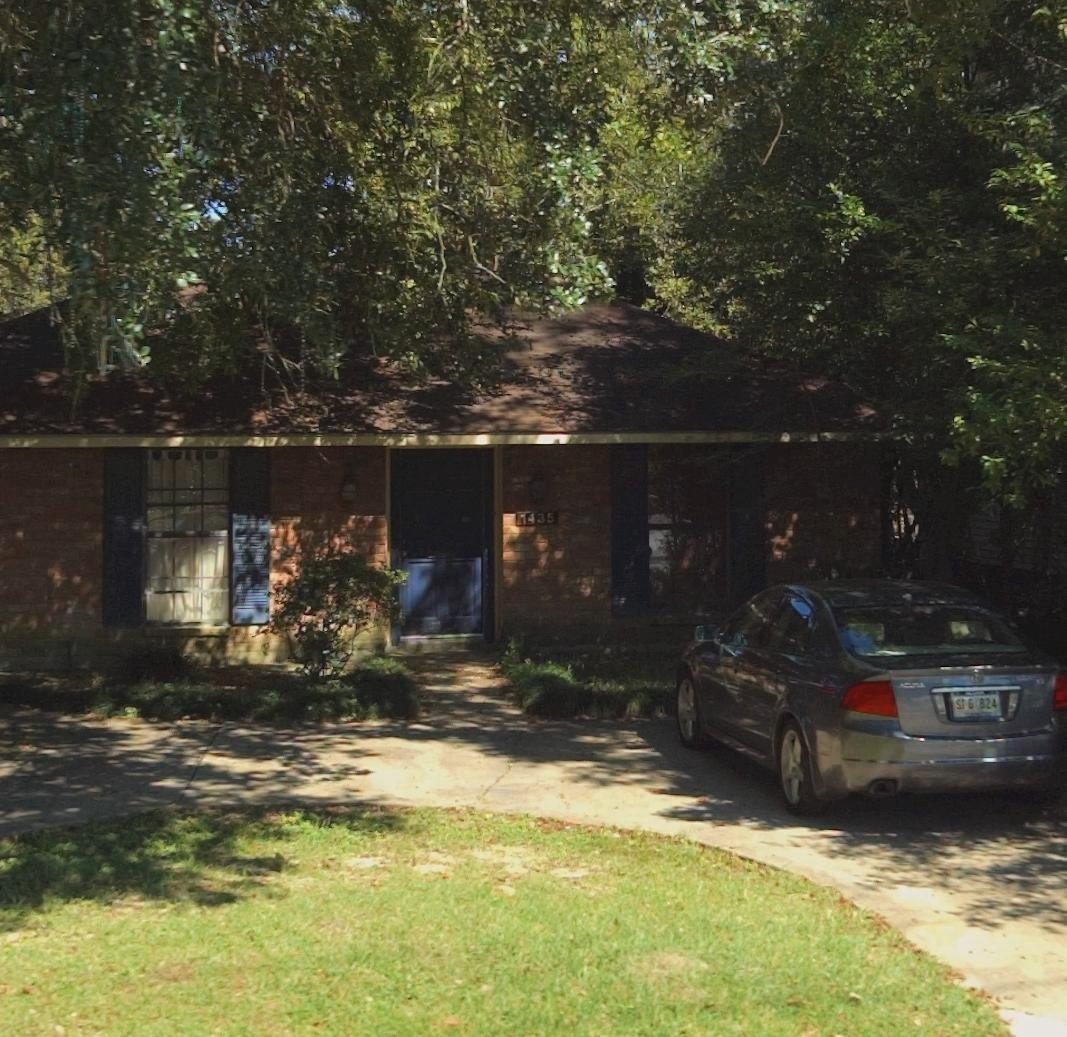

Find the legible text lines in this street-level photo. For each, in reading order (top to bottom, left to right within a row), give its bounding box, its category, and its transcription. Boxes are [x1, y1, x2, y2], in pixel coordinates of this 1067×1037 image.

[519, 510, 557, 526] StreetNumber: 1435
[976, 695, 1000, 711] None: 824